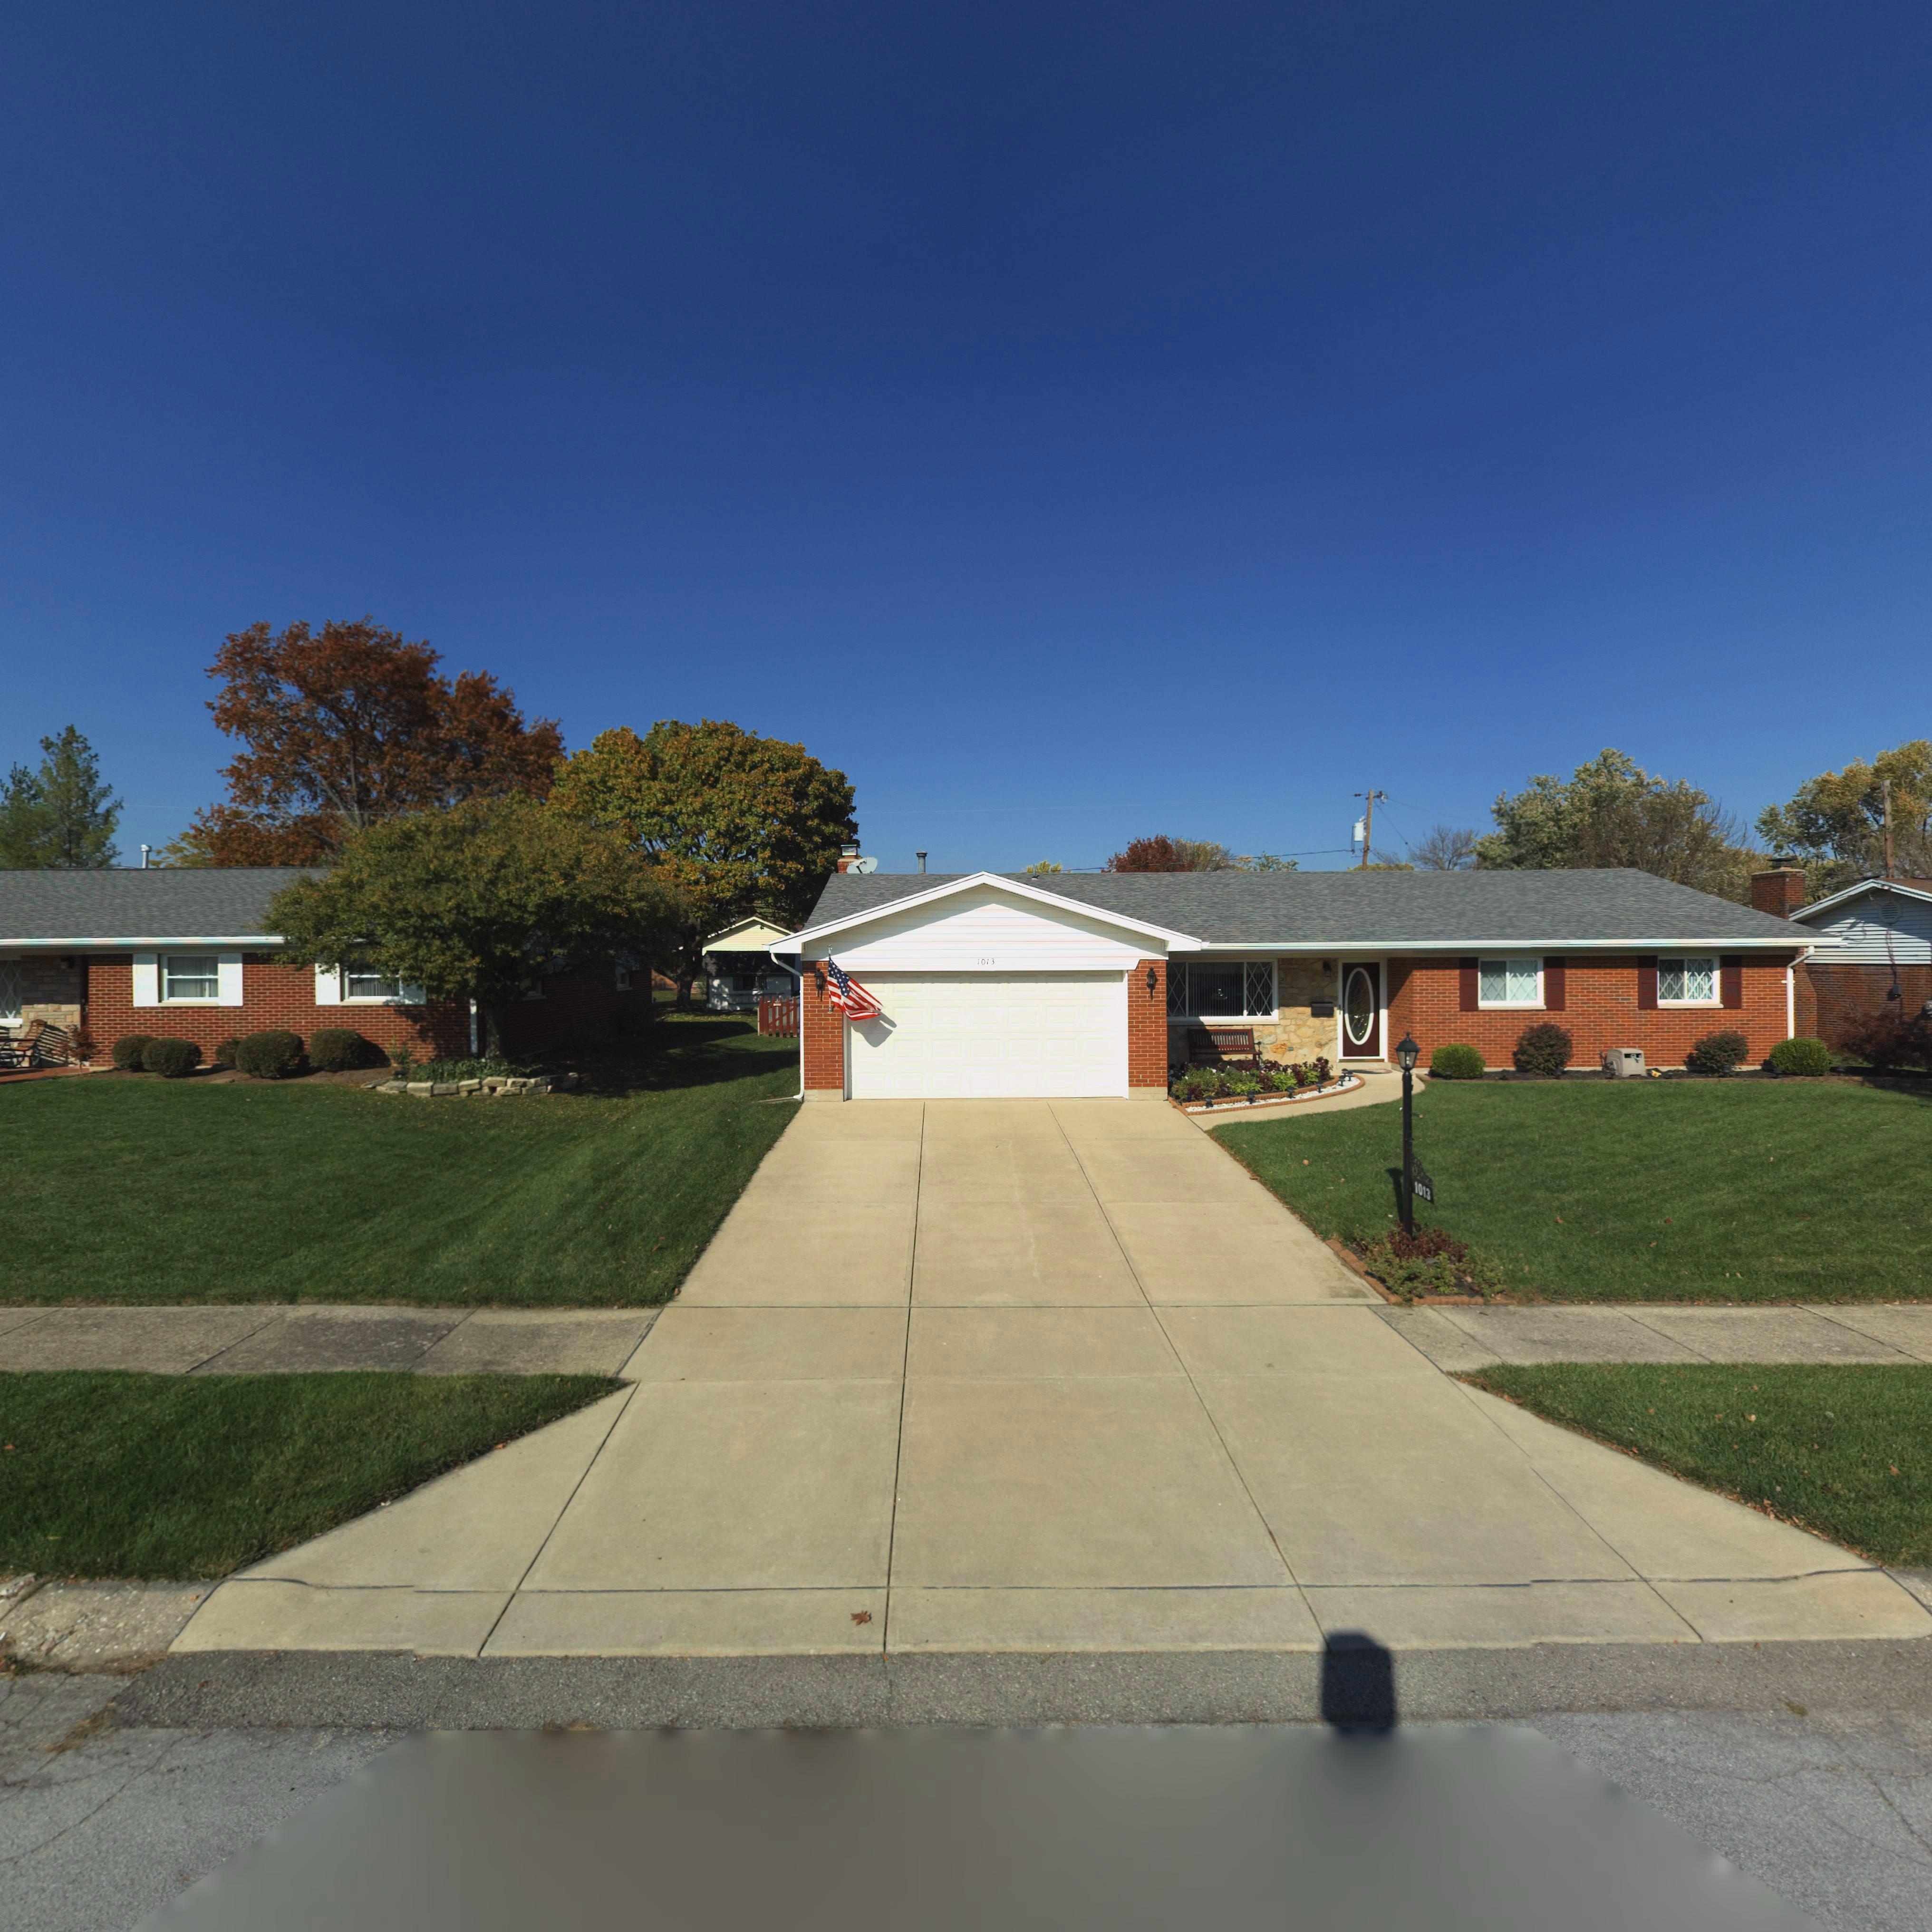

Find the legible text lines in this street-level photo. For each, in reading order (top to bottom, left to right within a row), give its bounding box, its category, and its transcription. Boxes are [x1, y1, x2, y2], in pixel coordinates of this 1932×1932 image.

[976, 958, 995, 966] StreetNumber: 1013
[1414, 1180, 1431, 1202] StreetNumber: 1013